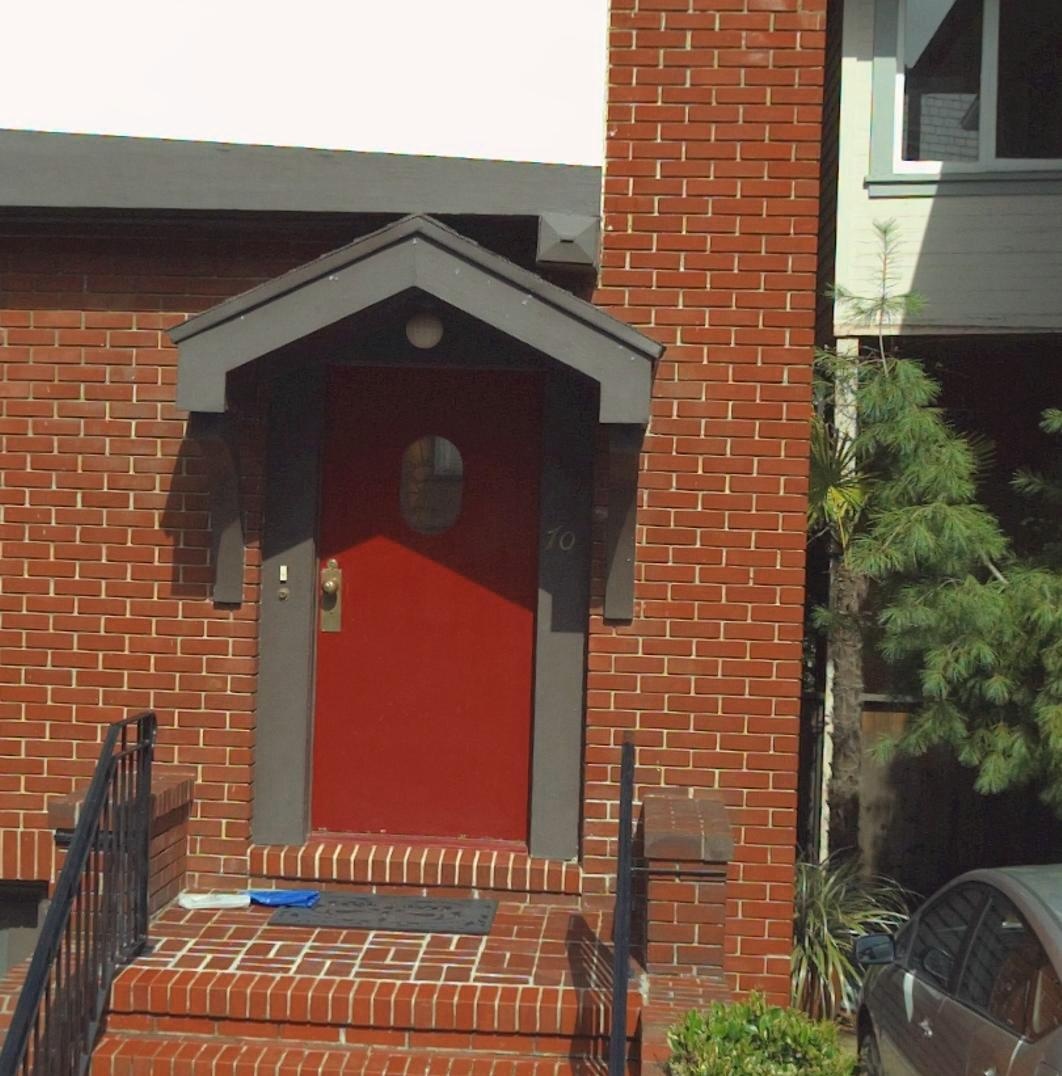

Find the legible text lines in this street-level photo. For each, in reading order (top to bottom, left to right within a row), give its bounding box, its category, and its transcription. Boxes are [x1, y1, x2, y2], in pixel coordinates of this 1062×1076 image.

[543, 523, 577, 553] StreetNumber: 70